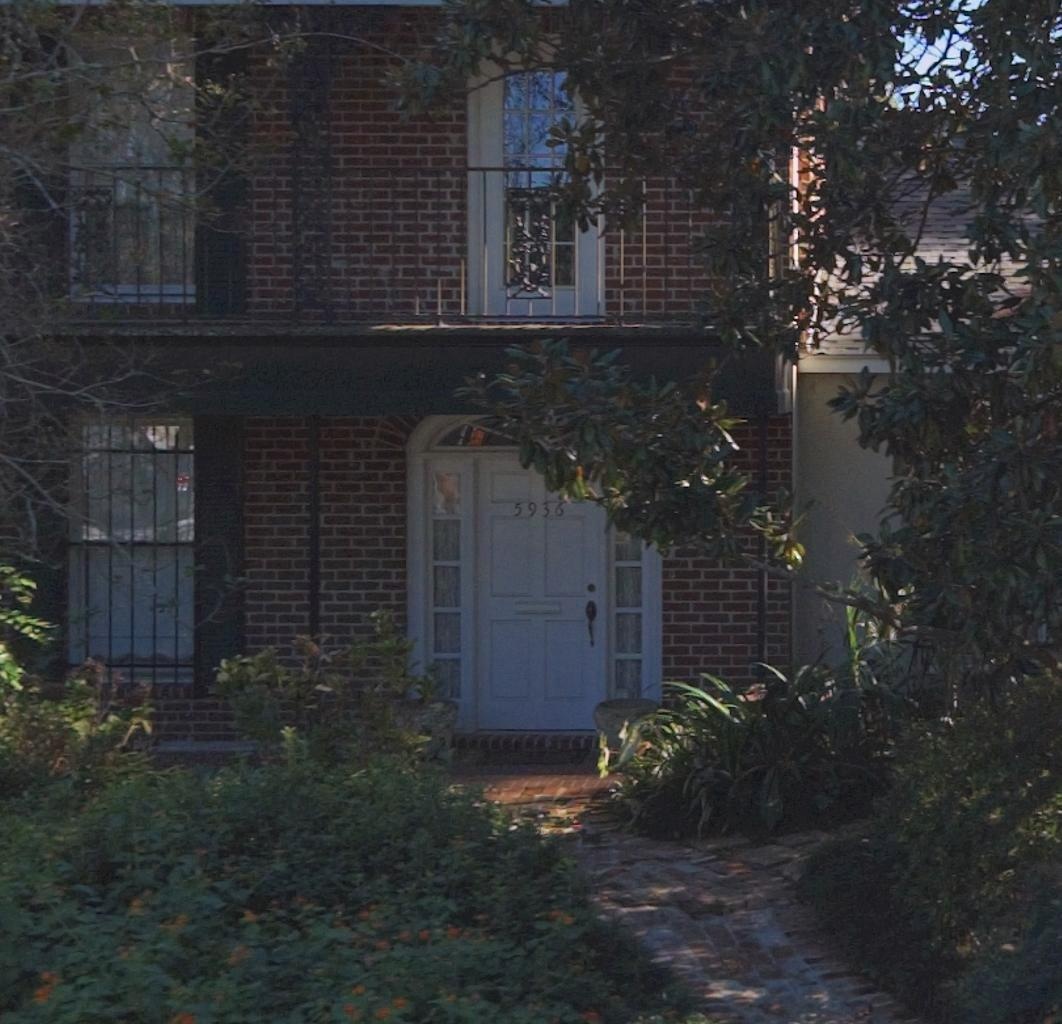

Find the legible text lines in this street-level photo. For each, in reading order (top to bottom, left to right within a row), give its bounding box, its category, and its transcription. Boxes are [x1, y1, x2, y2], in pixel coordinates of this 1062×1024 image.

[511, 500, 565, 518] StreetNumber: 5936